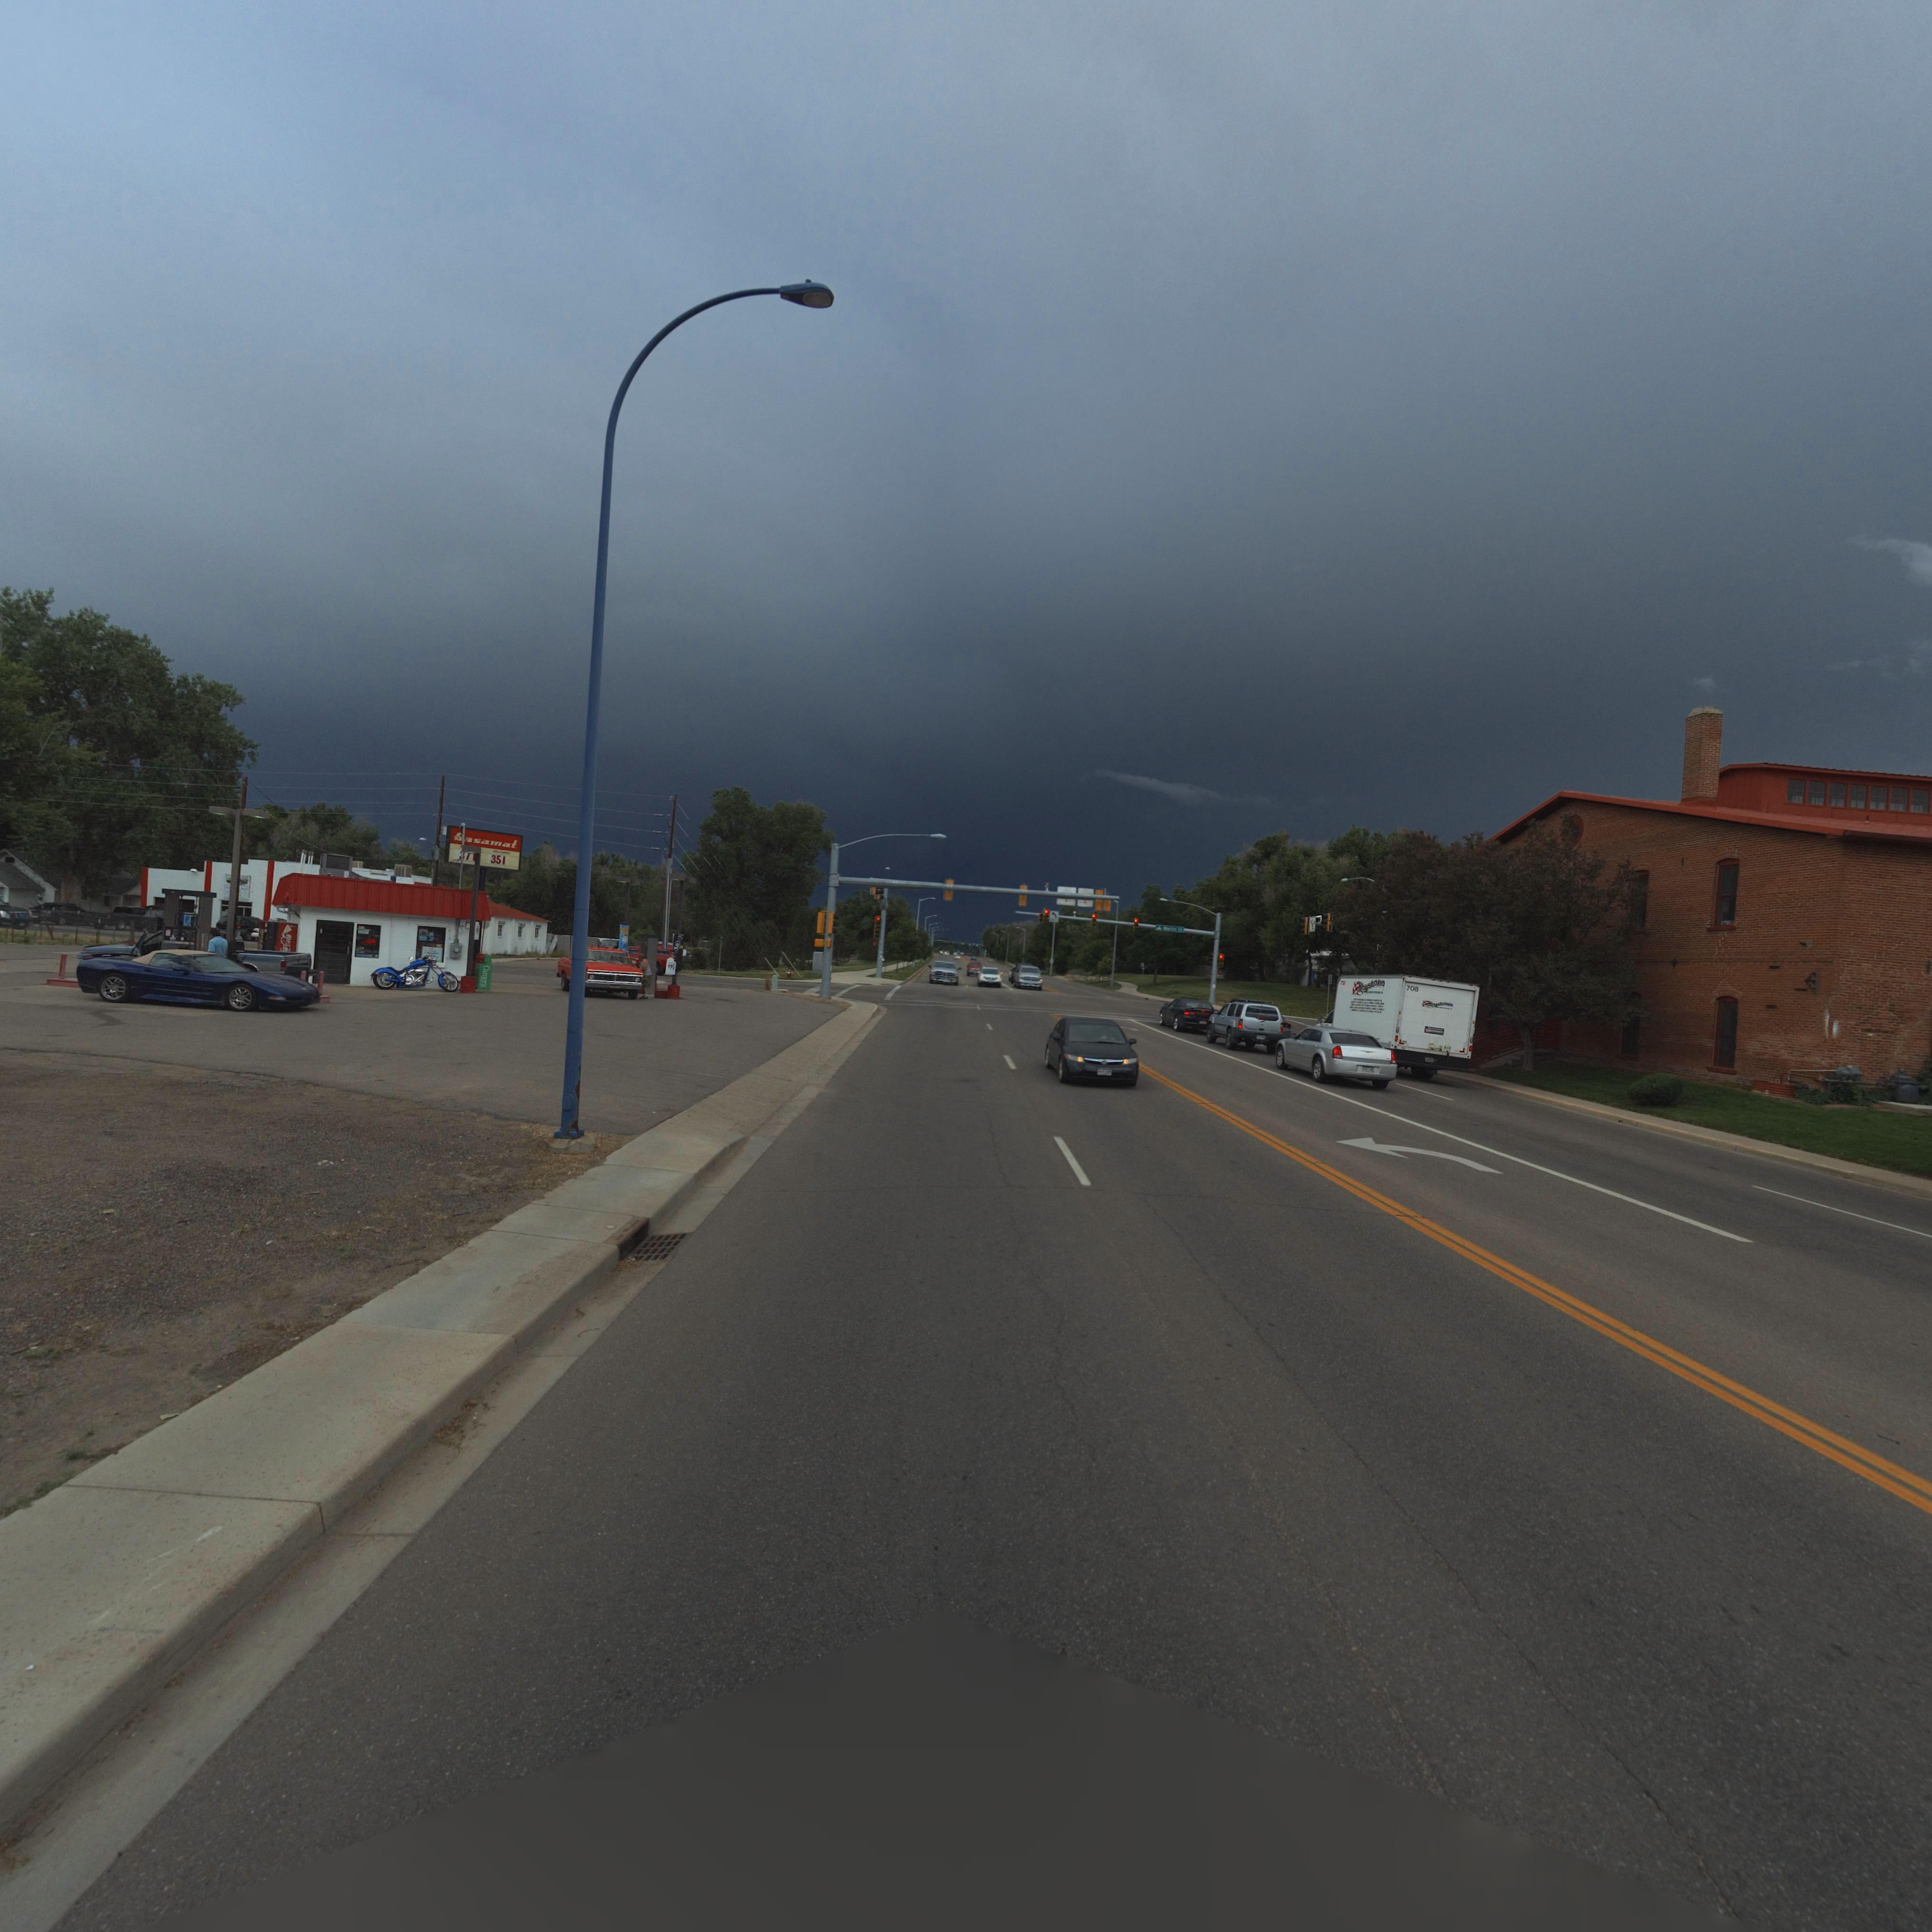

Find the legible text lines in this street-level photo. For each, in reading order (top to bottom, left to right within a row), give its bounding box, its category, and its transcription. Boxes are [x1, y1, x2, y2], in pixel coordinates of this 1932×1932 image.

[453, 832, 518, 849] BusinessName: *asamat
[1163, 926, 1183, 932] StreetName: M*rt*n St